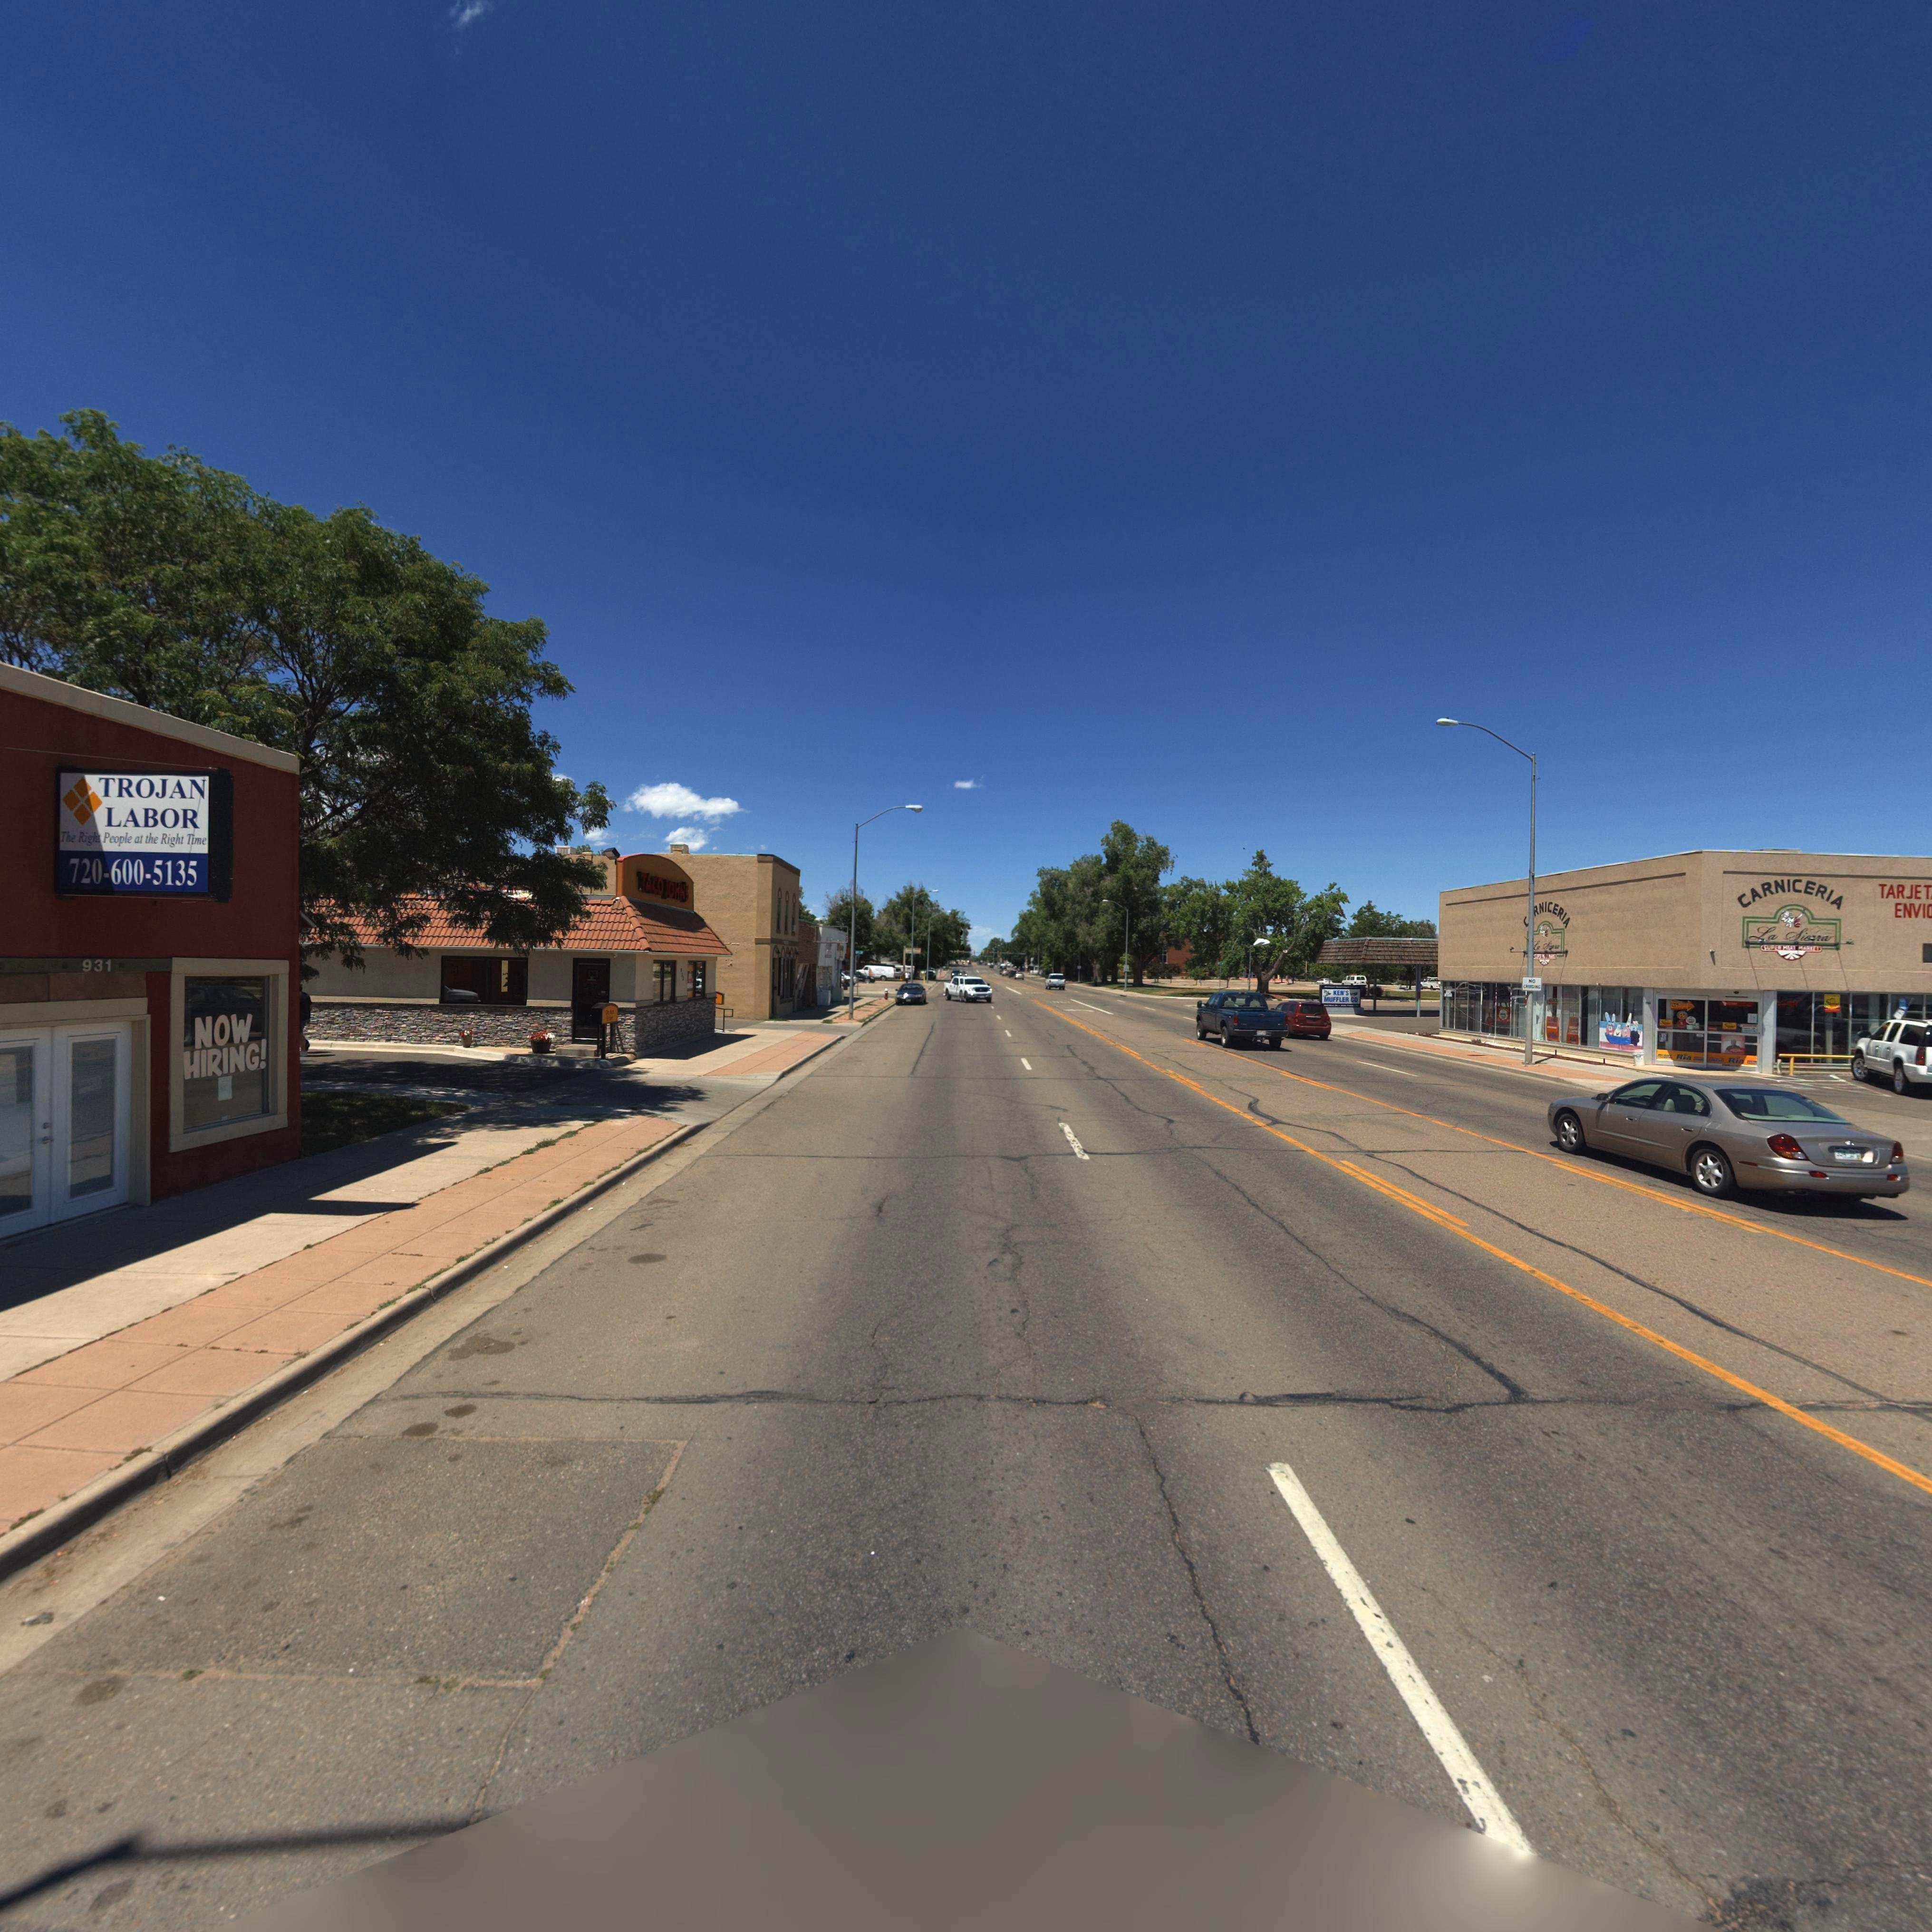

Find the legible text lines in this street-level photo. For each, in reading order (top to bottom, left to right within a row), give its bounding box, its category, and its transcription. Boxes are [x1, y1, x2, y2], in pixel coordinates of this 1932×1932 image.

[97, 776, 206, 800] BusinessName: TROJAN
[105, 806, 200, 829] BusinessName: LABOR
[640, 871, 690, 902] BusinessName: TACO JOHN'S
[1748, 925, 1833, 941] BusinessName: *a *ie**a
[1530, 939, 1560, 951] BusinessName: *a ******
[1763, 945, 1820, 951] BusinessName: SUPER M*AT MARKET
[1533, 954, 1556, 959] BusinessName: S*P** M**T ****E*
[81, 958, 112, 973] StreetNumber: 931
[1324, 996, 1357, 1002] BusinessName: MUFFLER CO
[1333, 990, 1349, 995] BusinessName: KEN'S